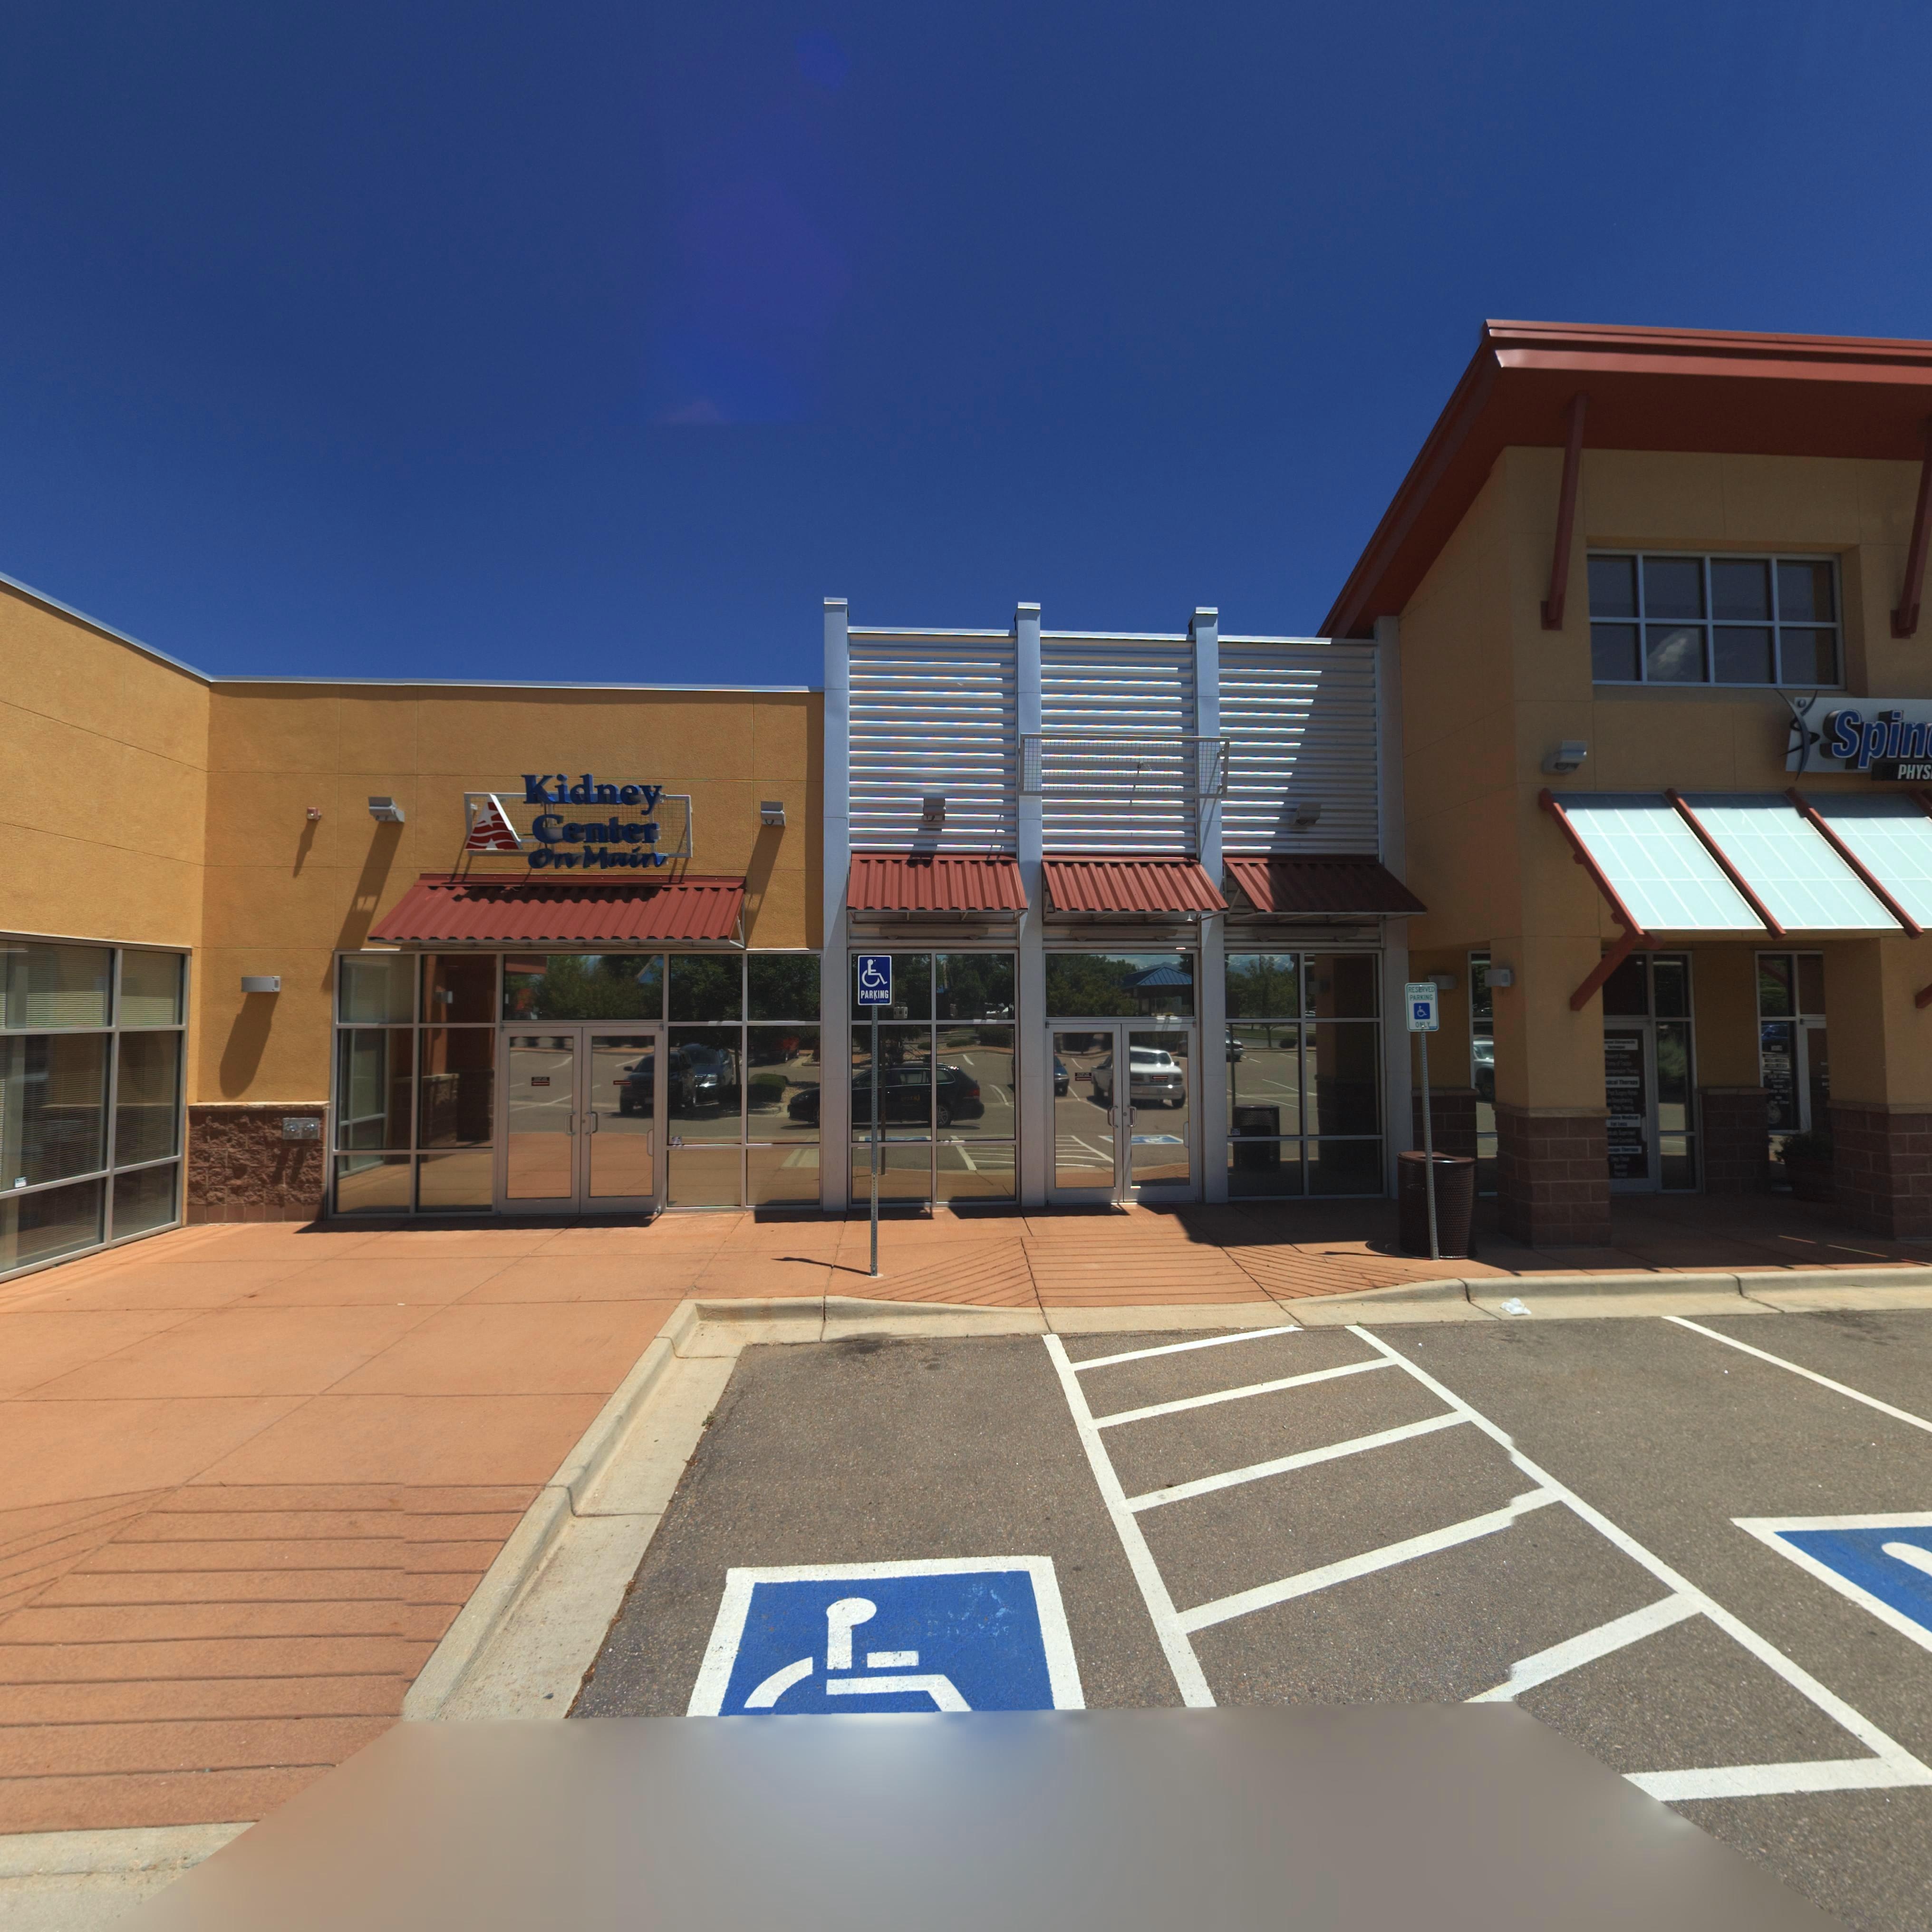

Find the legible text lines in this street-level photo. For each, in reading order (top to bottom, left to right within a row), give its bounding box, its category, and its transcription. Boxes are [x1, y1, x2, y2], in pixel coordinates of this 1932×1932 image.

[1815, 705, 1930, 771] BusinessName: Spin
[1897, 762, 1932, 780] BusinessName: PHYS
[521, 773, 663, 816] BusinessName: Kidney
[531, 813, 662, 844] BusinessName: Center
[525, 845, 671, 869] BusinessName: On Main